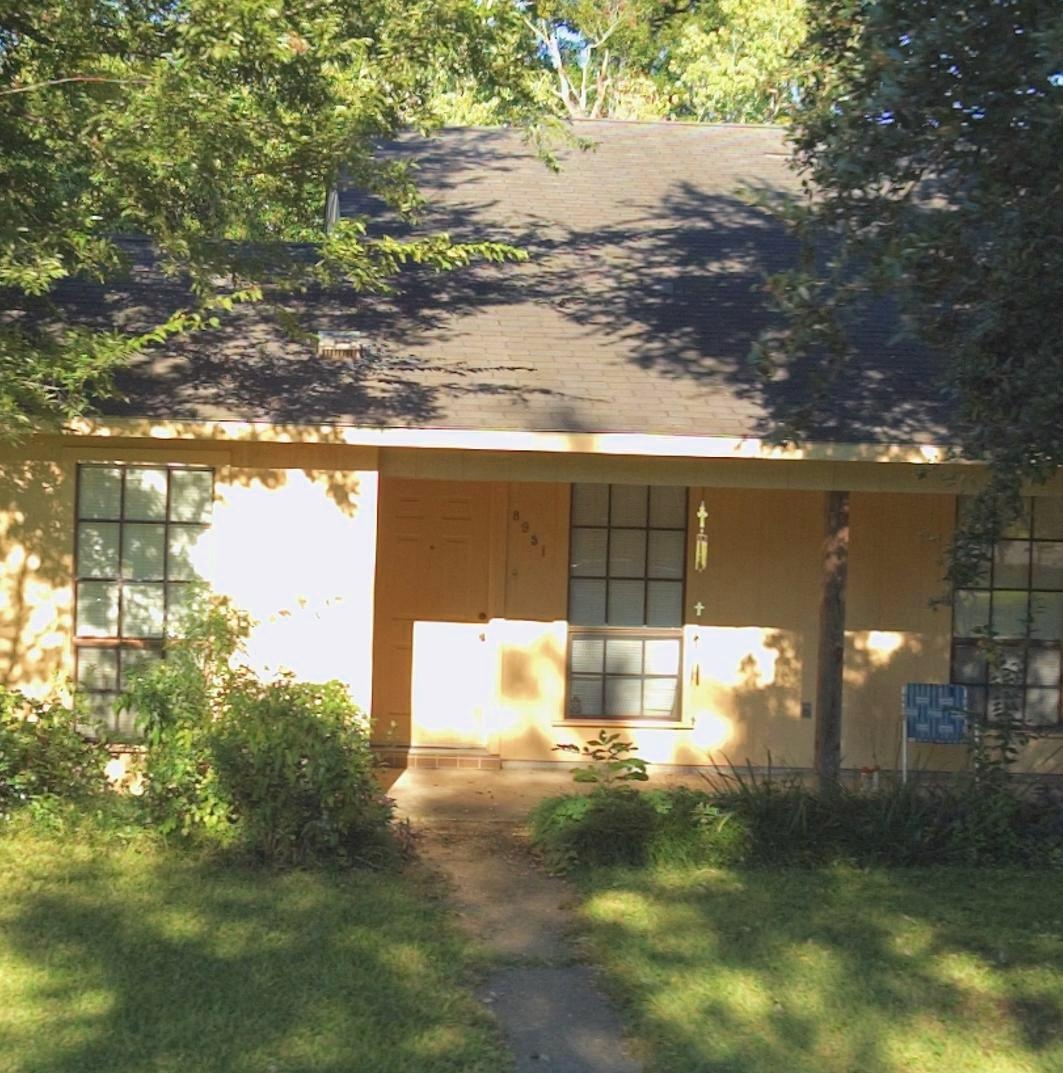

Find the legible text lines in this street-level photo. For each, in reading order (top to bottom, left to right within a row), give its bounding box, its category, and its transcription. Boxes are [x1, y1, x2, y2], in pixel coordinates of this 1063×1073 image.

[511, 510, 547, 562] StreetNumber: 8951